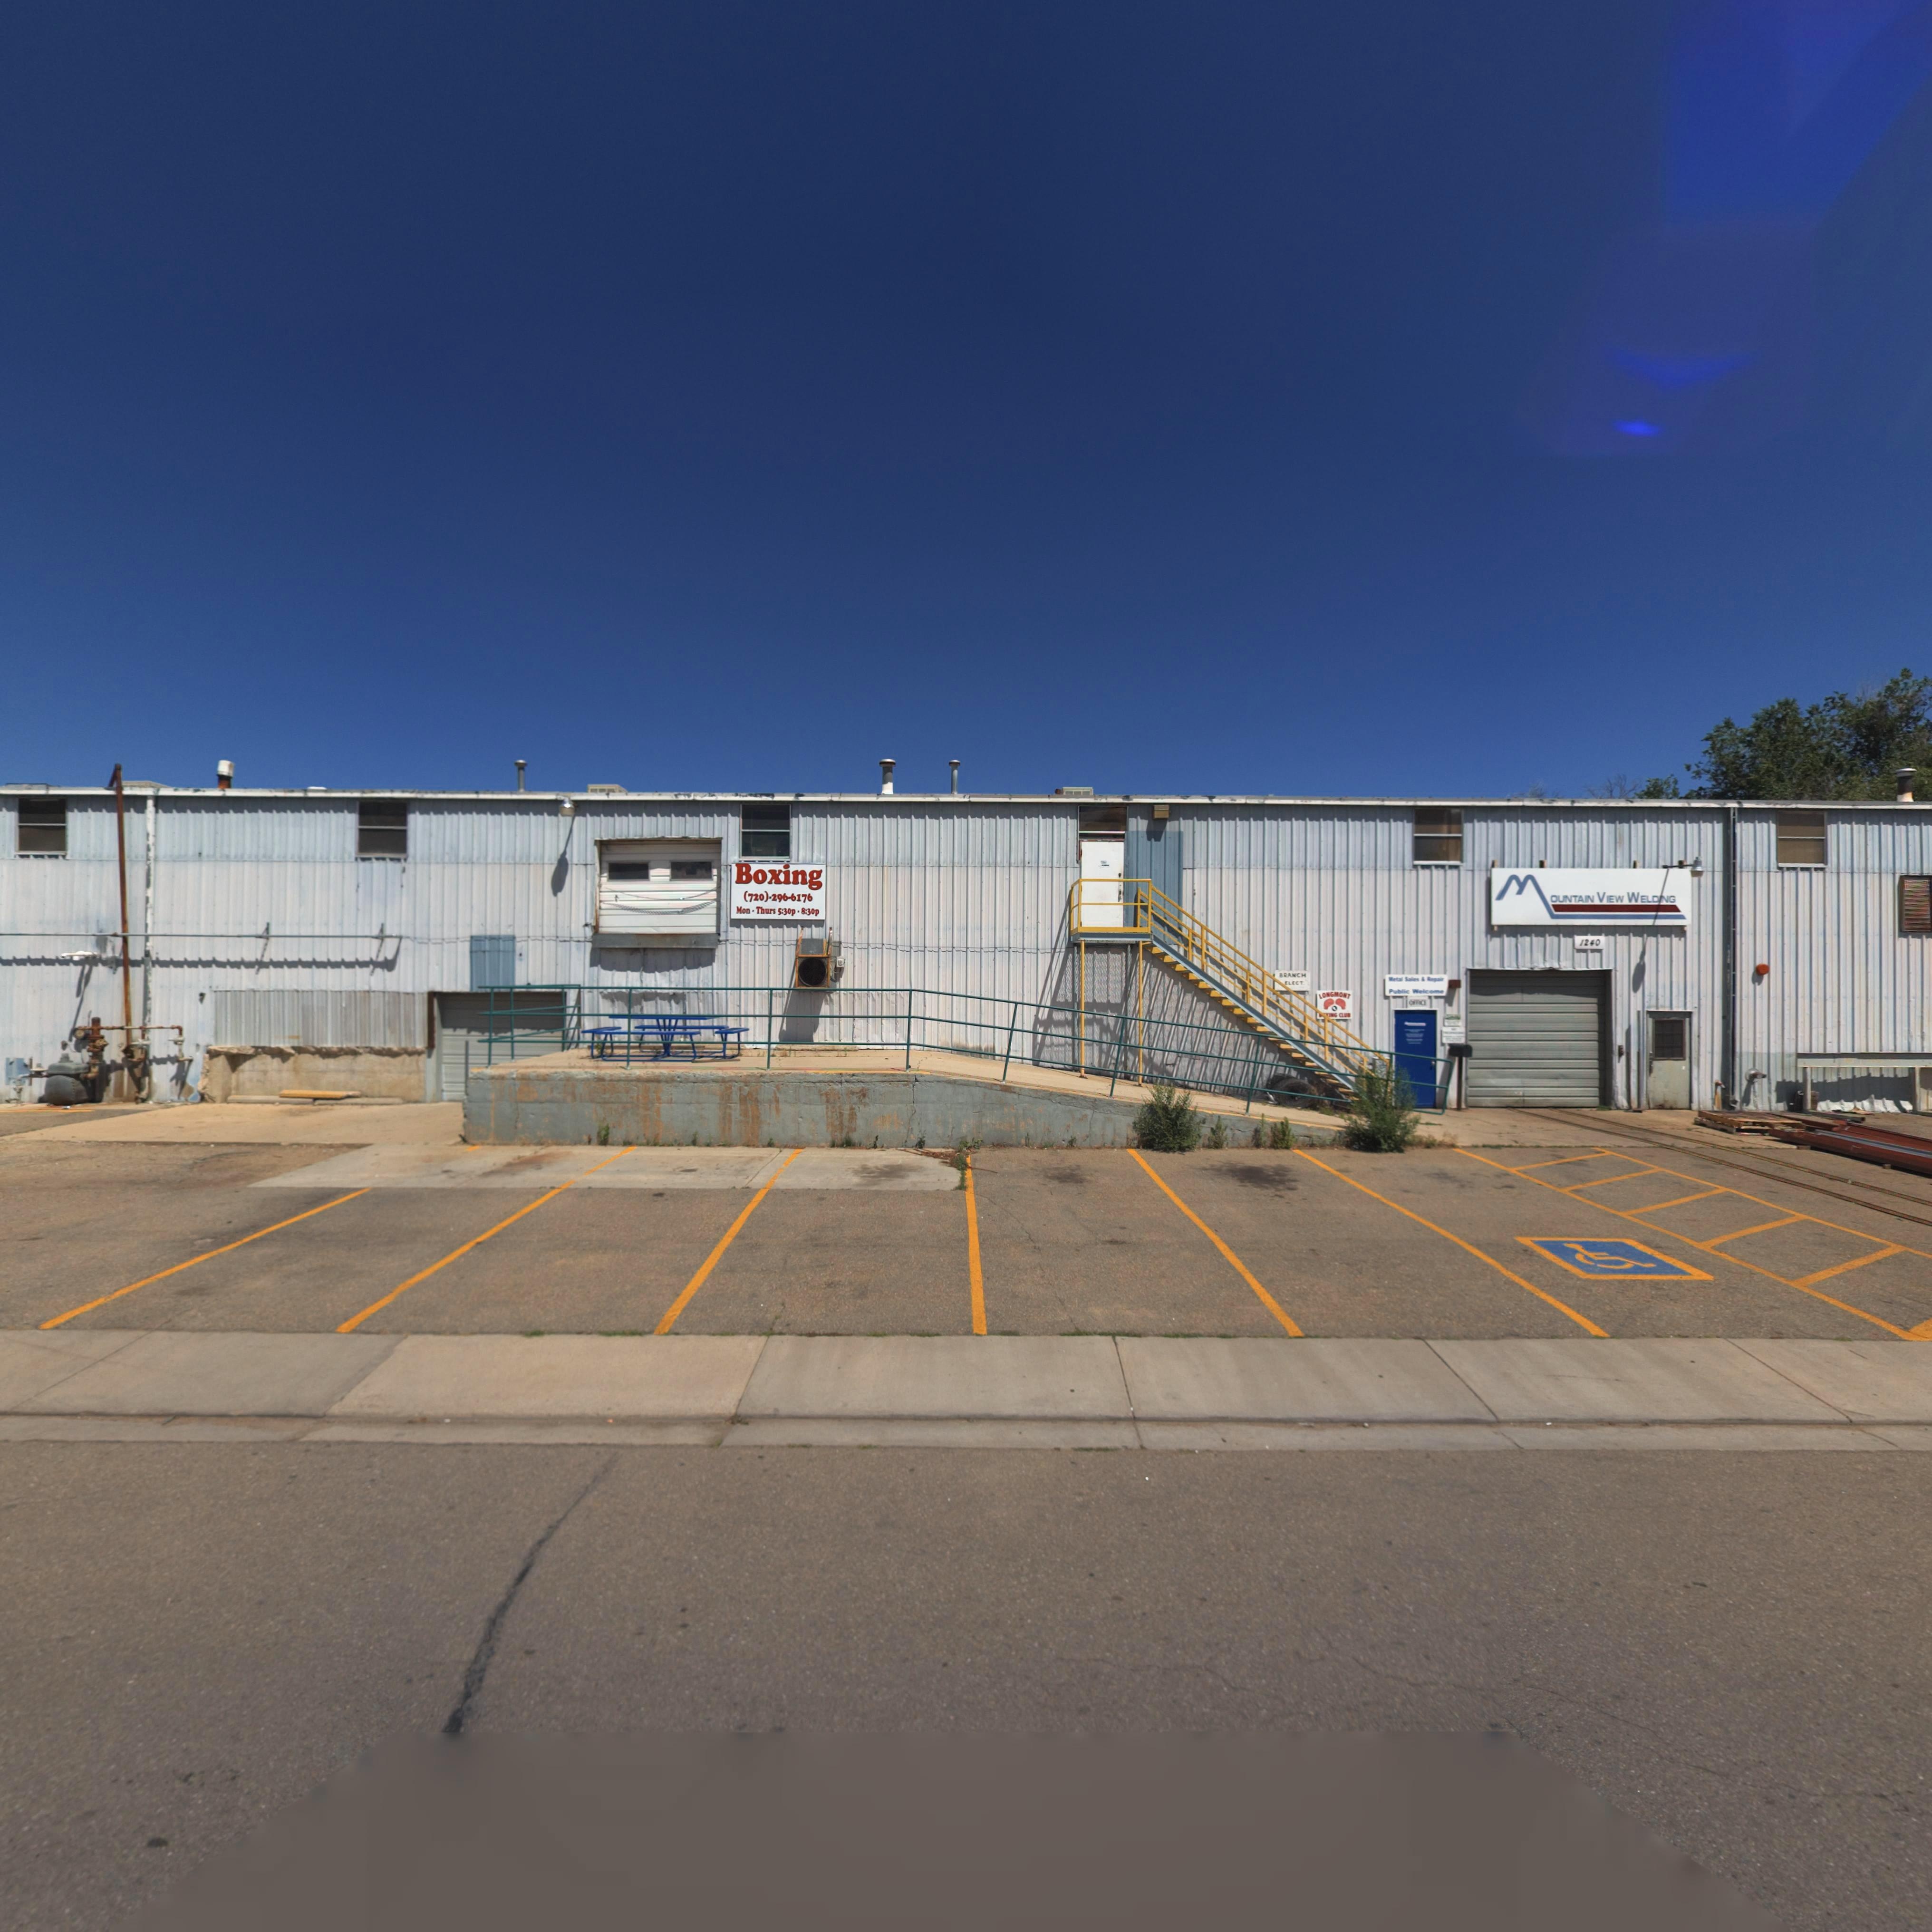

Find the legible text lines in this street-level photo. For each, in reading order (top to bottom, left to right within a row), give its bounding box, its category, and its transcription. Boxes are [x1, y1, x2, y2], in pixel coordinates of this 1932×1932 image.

[1549, 891, 1676, 904] BusinessName: OUNTAIN VIEW WELDING
[1578, 938, 1601, 946] StreetNumber: 1240
[1317, 991, 1352, 1000] BusinessName: LONGMONT
[1318, 1012, 1351, 1018] BusinessName: ****NG CLUB